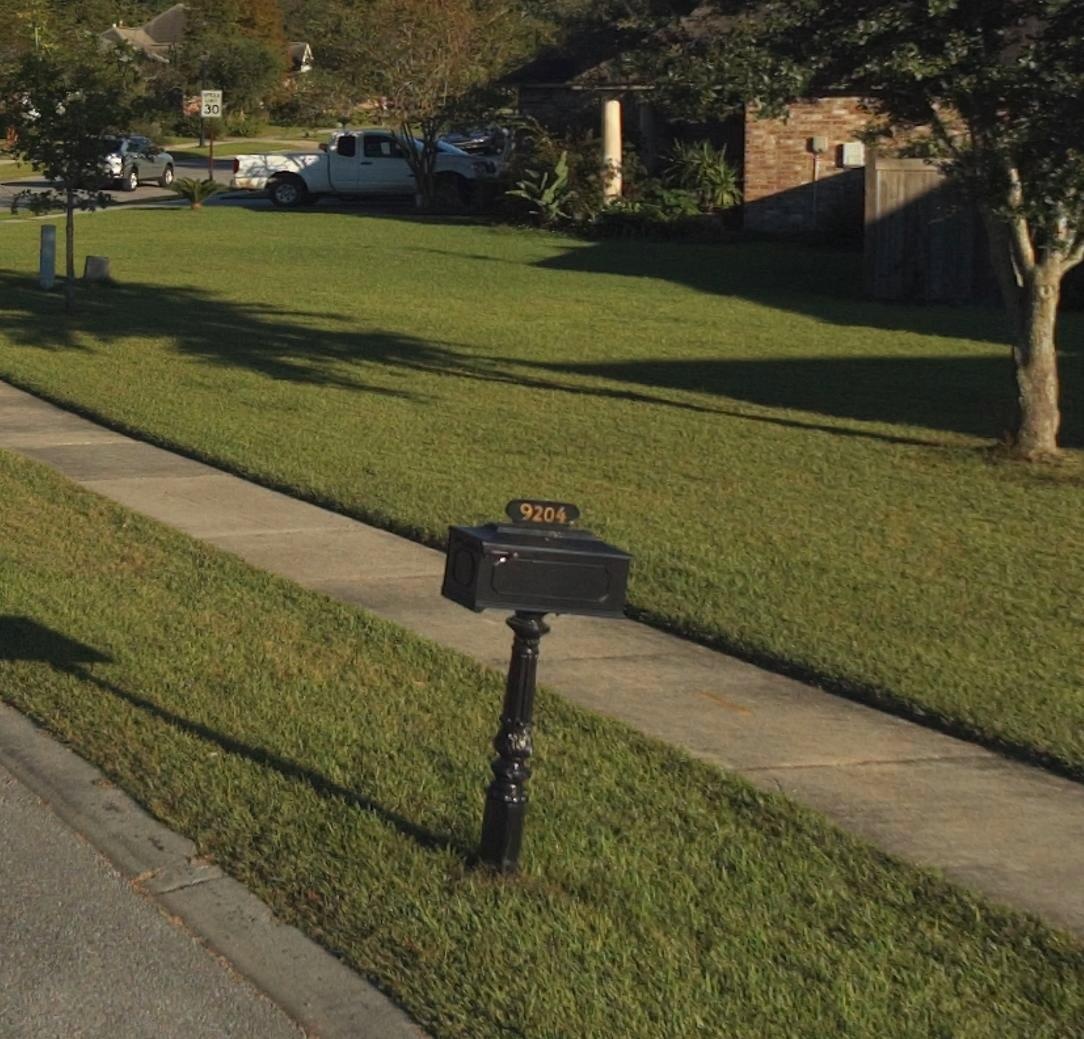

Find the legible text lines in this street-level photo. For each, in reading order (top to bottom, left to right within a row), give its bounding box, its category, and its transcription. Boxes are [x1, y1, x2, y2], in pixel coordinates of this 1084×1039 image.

[204, 98, 219, 102] None: LIMIT
[203, 92, 221, 97] None: SPEED
[203, 103, 220, 115] None: 30
[518, 502, 568, 525] StreetNumber: 9204